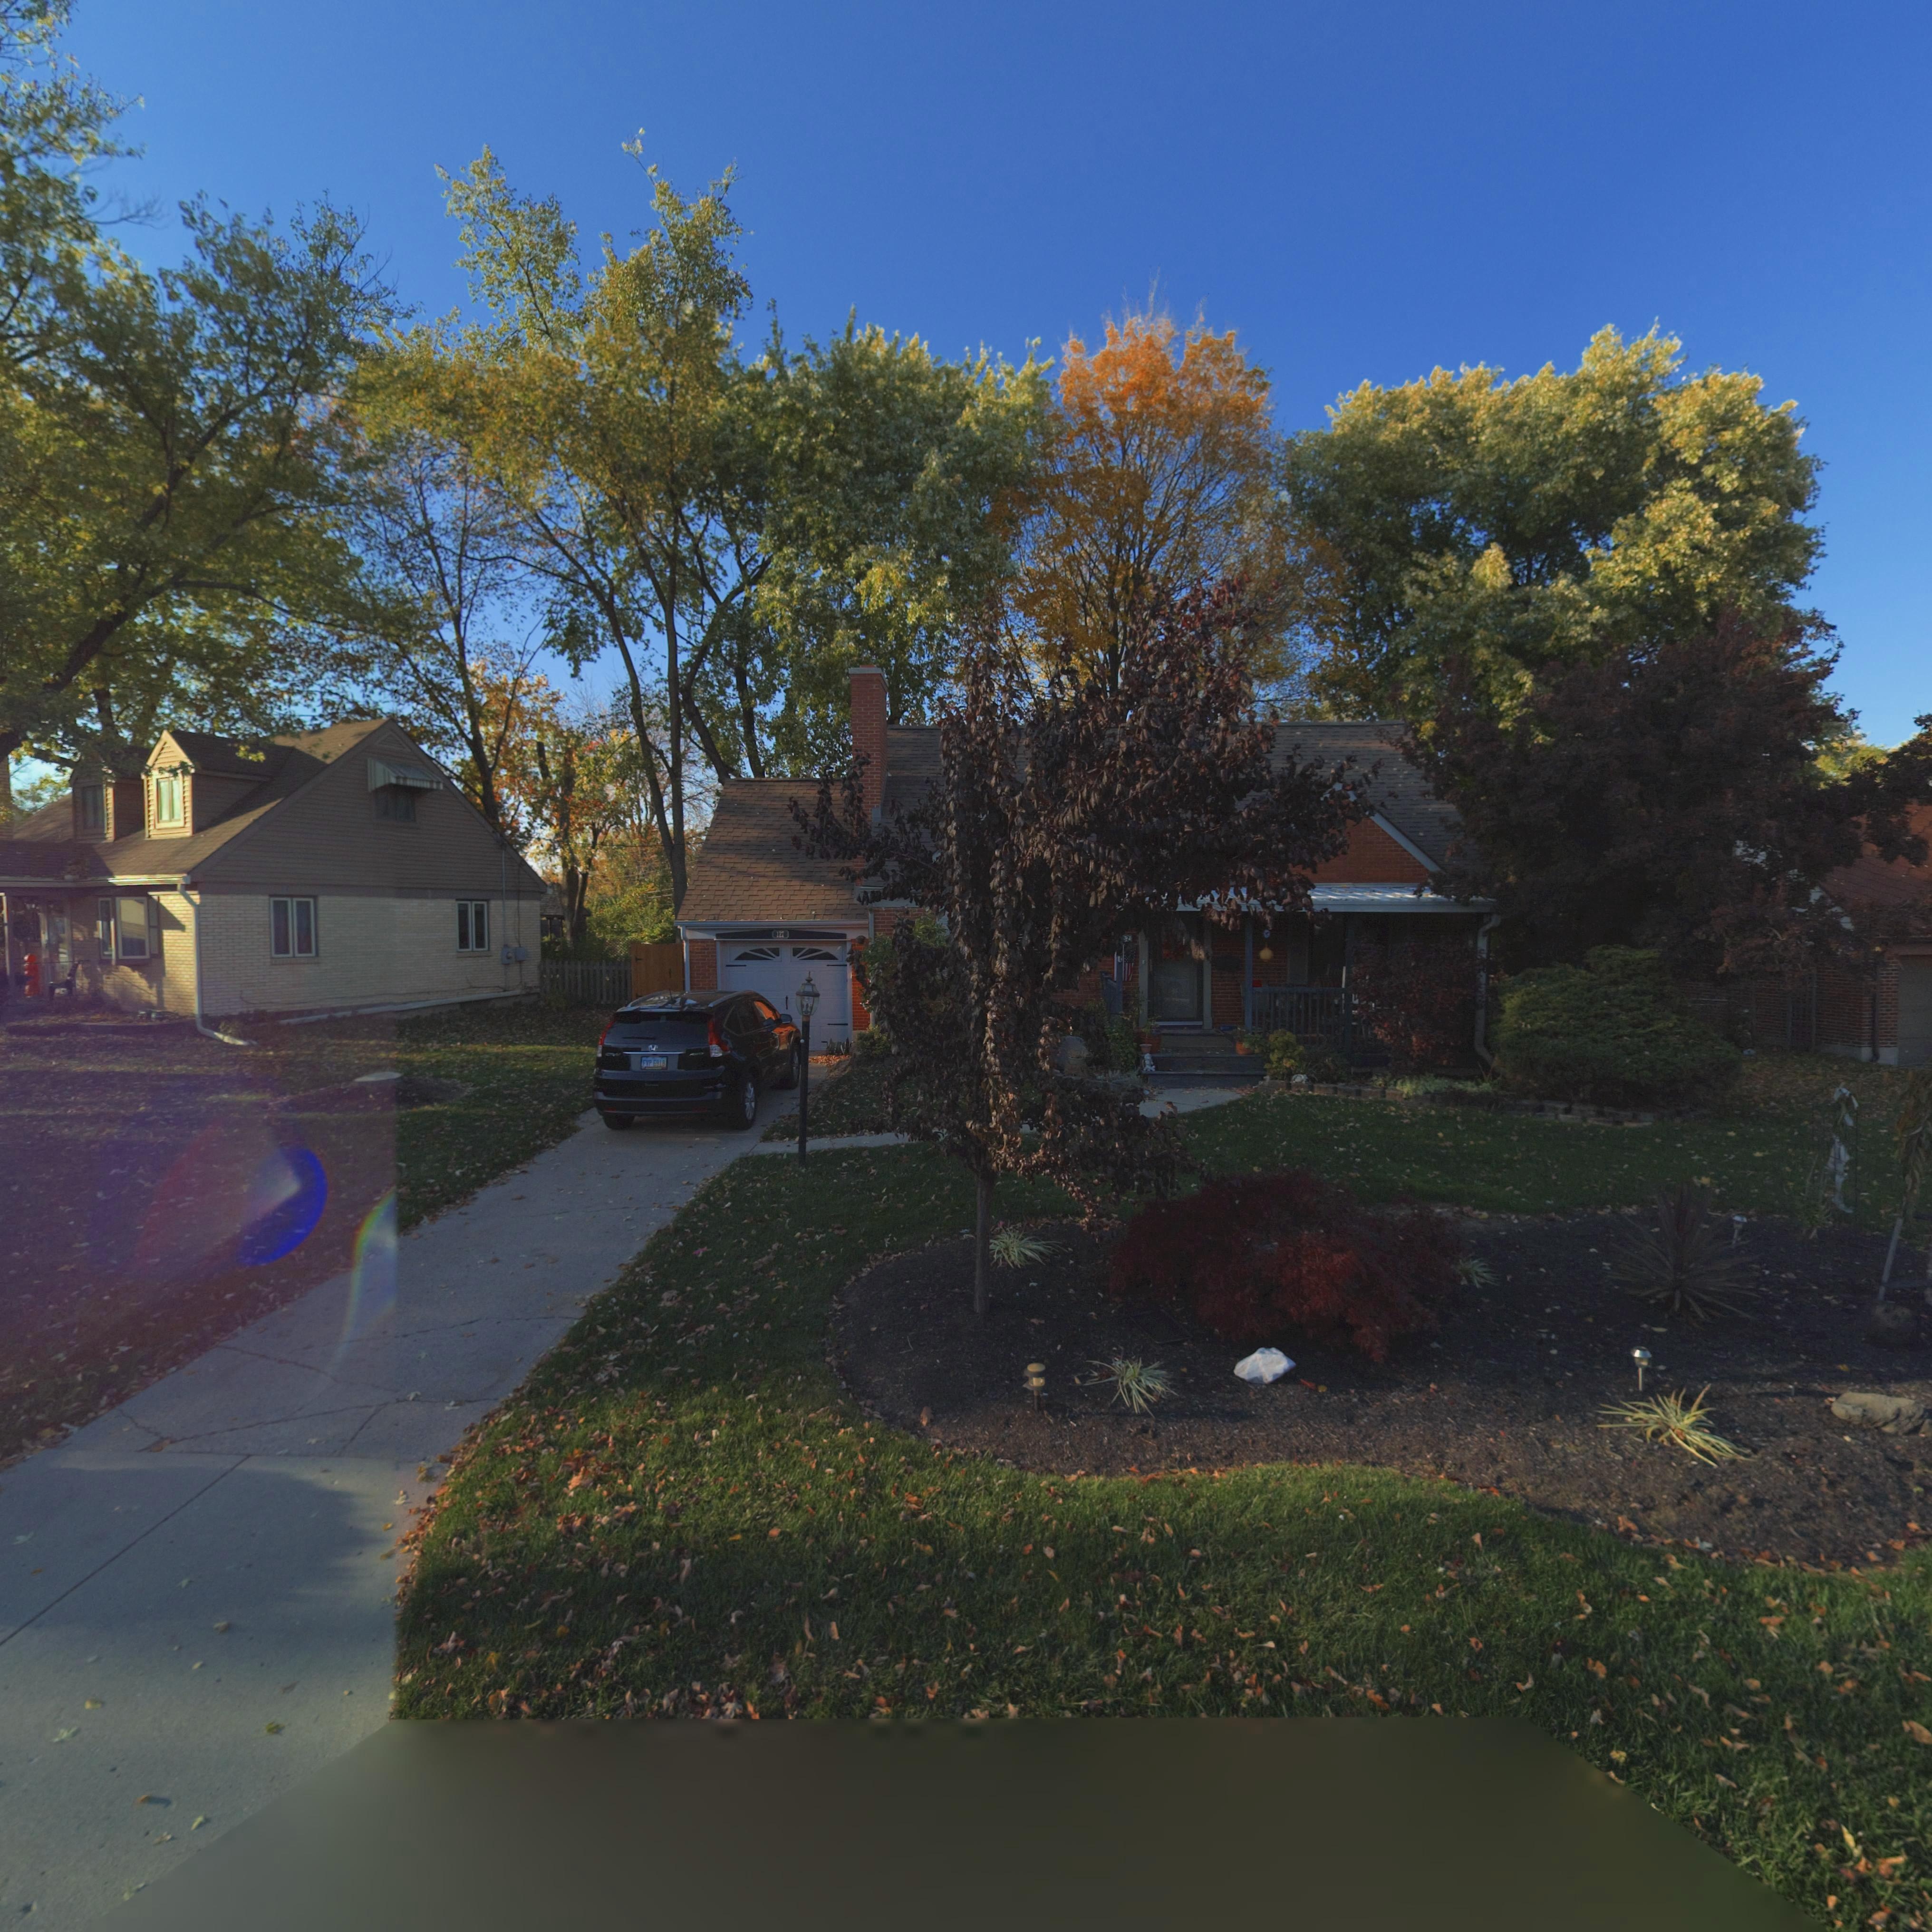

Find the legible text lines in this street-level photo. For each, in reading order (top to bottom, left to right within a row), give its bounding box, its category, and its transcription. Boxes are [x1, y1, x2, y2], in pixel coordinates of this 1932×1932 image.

[775, 930, 785, 938] StreetNumber: 127